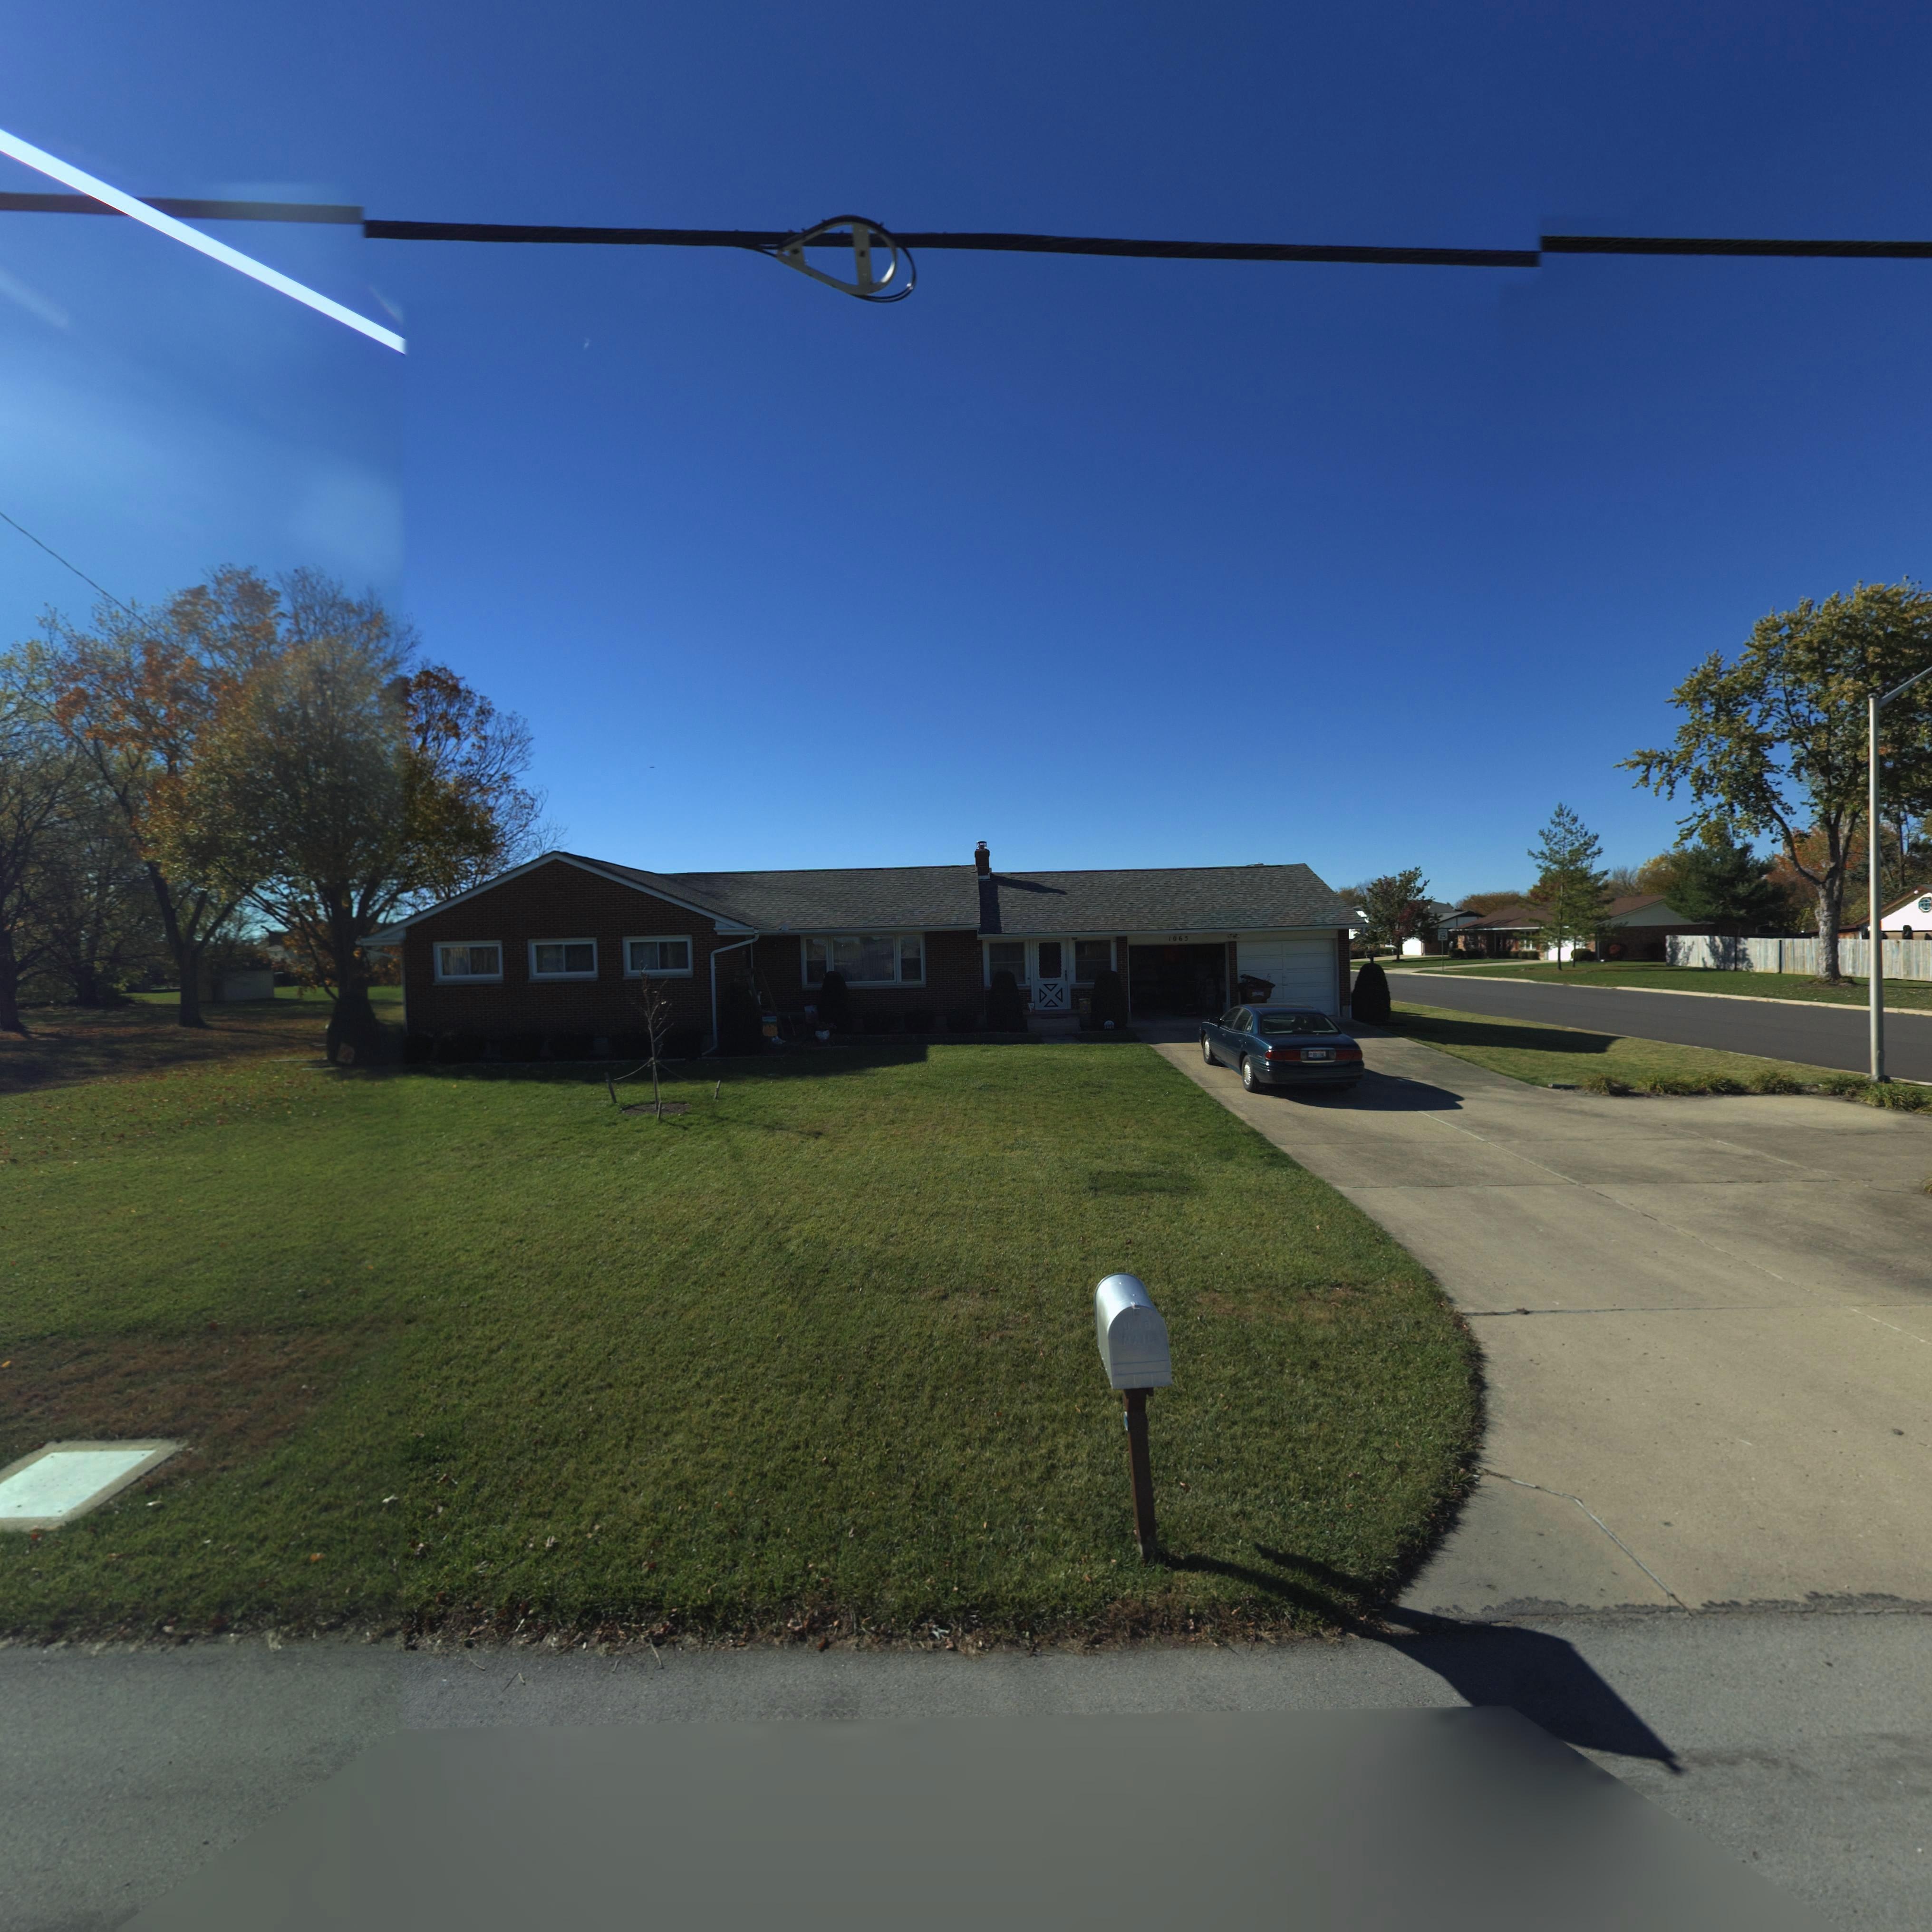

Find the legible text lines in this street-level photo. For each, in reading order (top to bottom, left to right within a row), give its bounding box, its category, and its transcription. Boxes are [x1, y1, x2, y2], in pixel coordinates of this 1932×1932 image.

[1168, 935, 1189, 942] StreetNumber: 1065